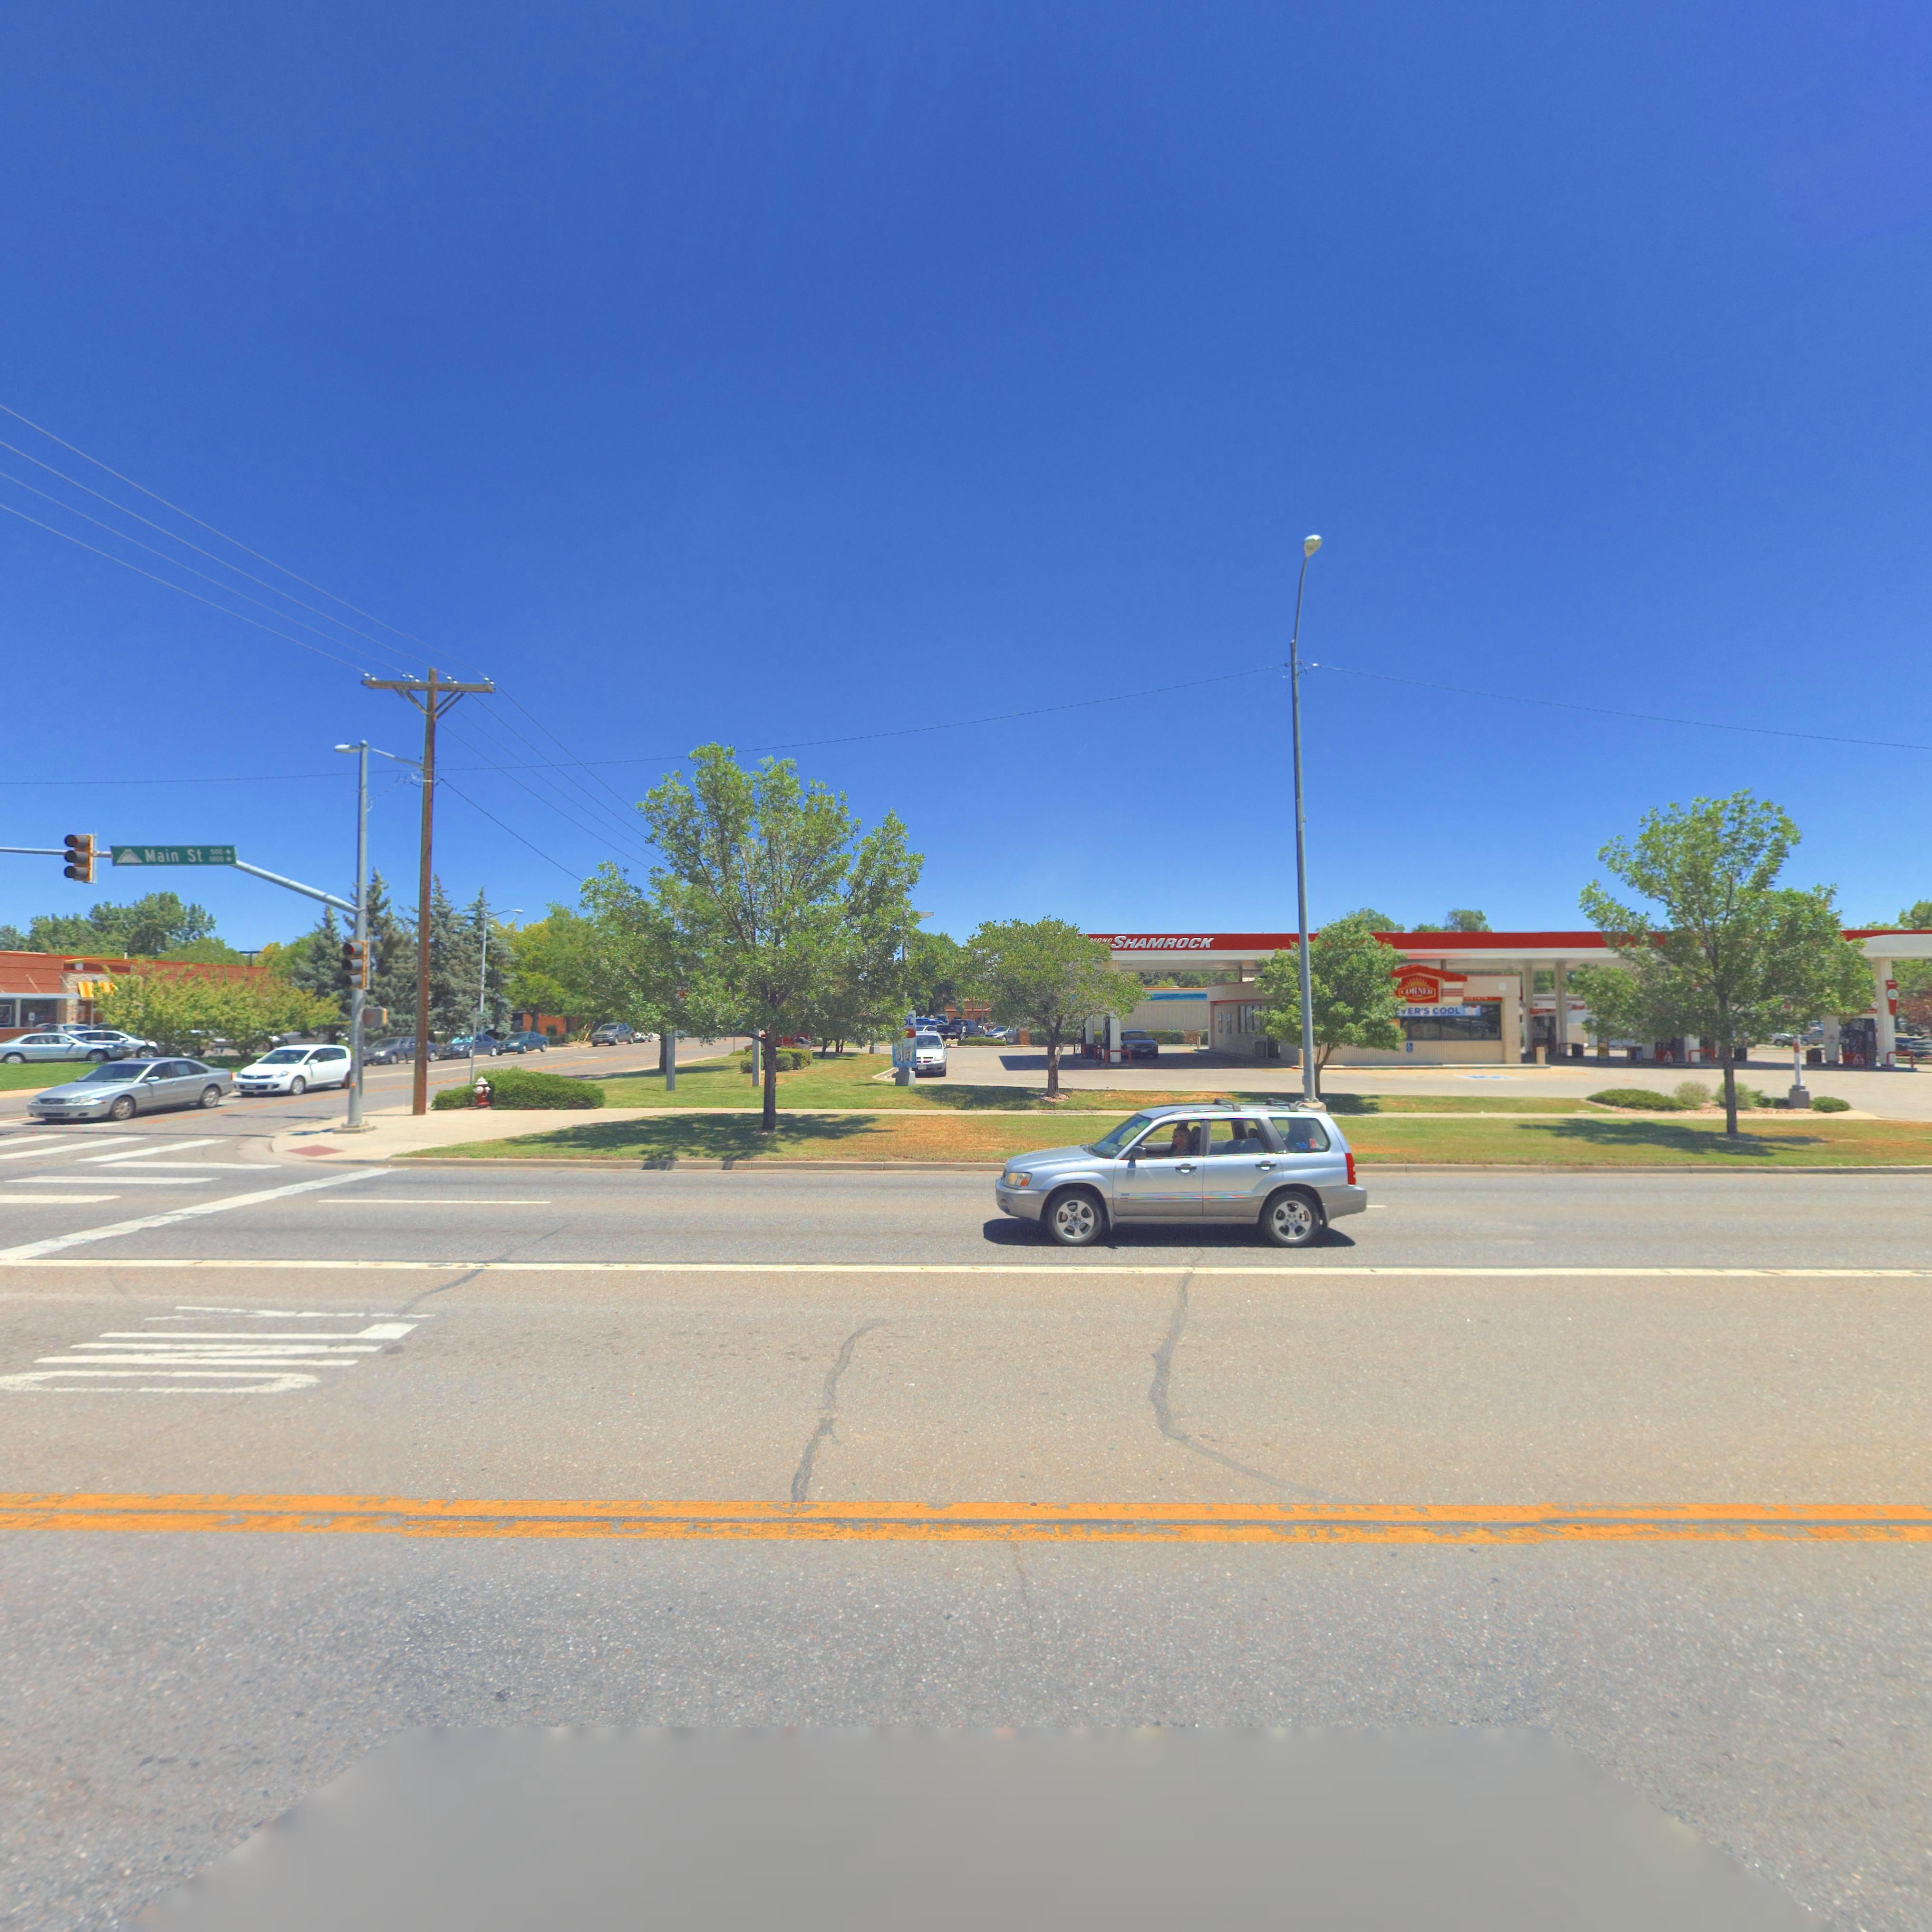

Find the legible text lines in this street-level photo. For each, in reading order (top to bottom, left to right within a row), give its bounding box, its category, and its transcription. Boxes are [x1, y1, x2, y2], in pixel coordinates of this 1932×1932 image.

[144, 848, 203, 863] StreetName: Main St
[210, 848, 223, 855] StreetNumberRange: 500
[207, 856, 232, 862] StreetNumberRange: 1*00 ->
[1089, 937, 1113, 944] BusinessName: *OND
[1110, 935, 1215, 949] BusinessName: SHAMROCK
[1401, 985, 1433, 995] BusinessName: CORNER